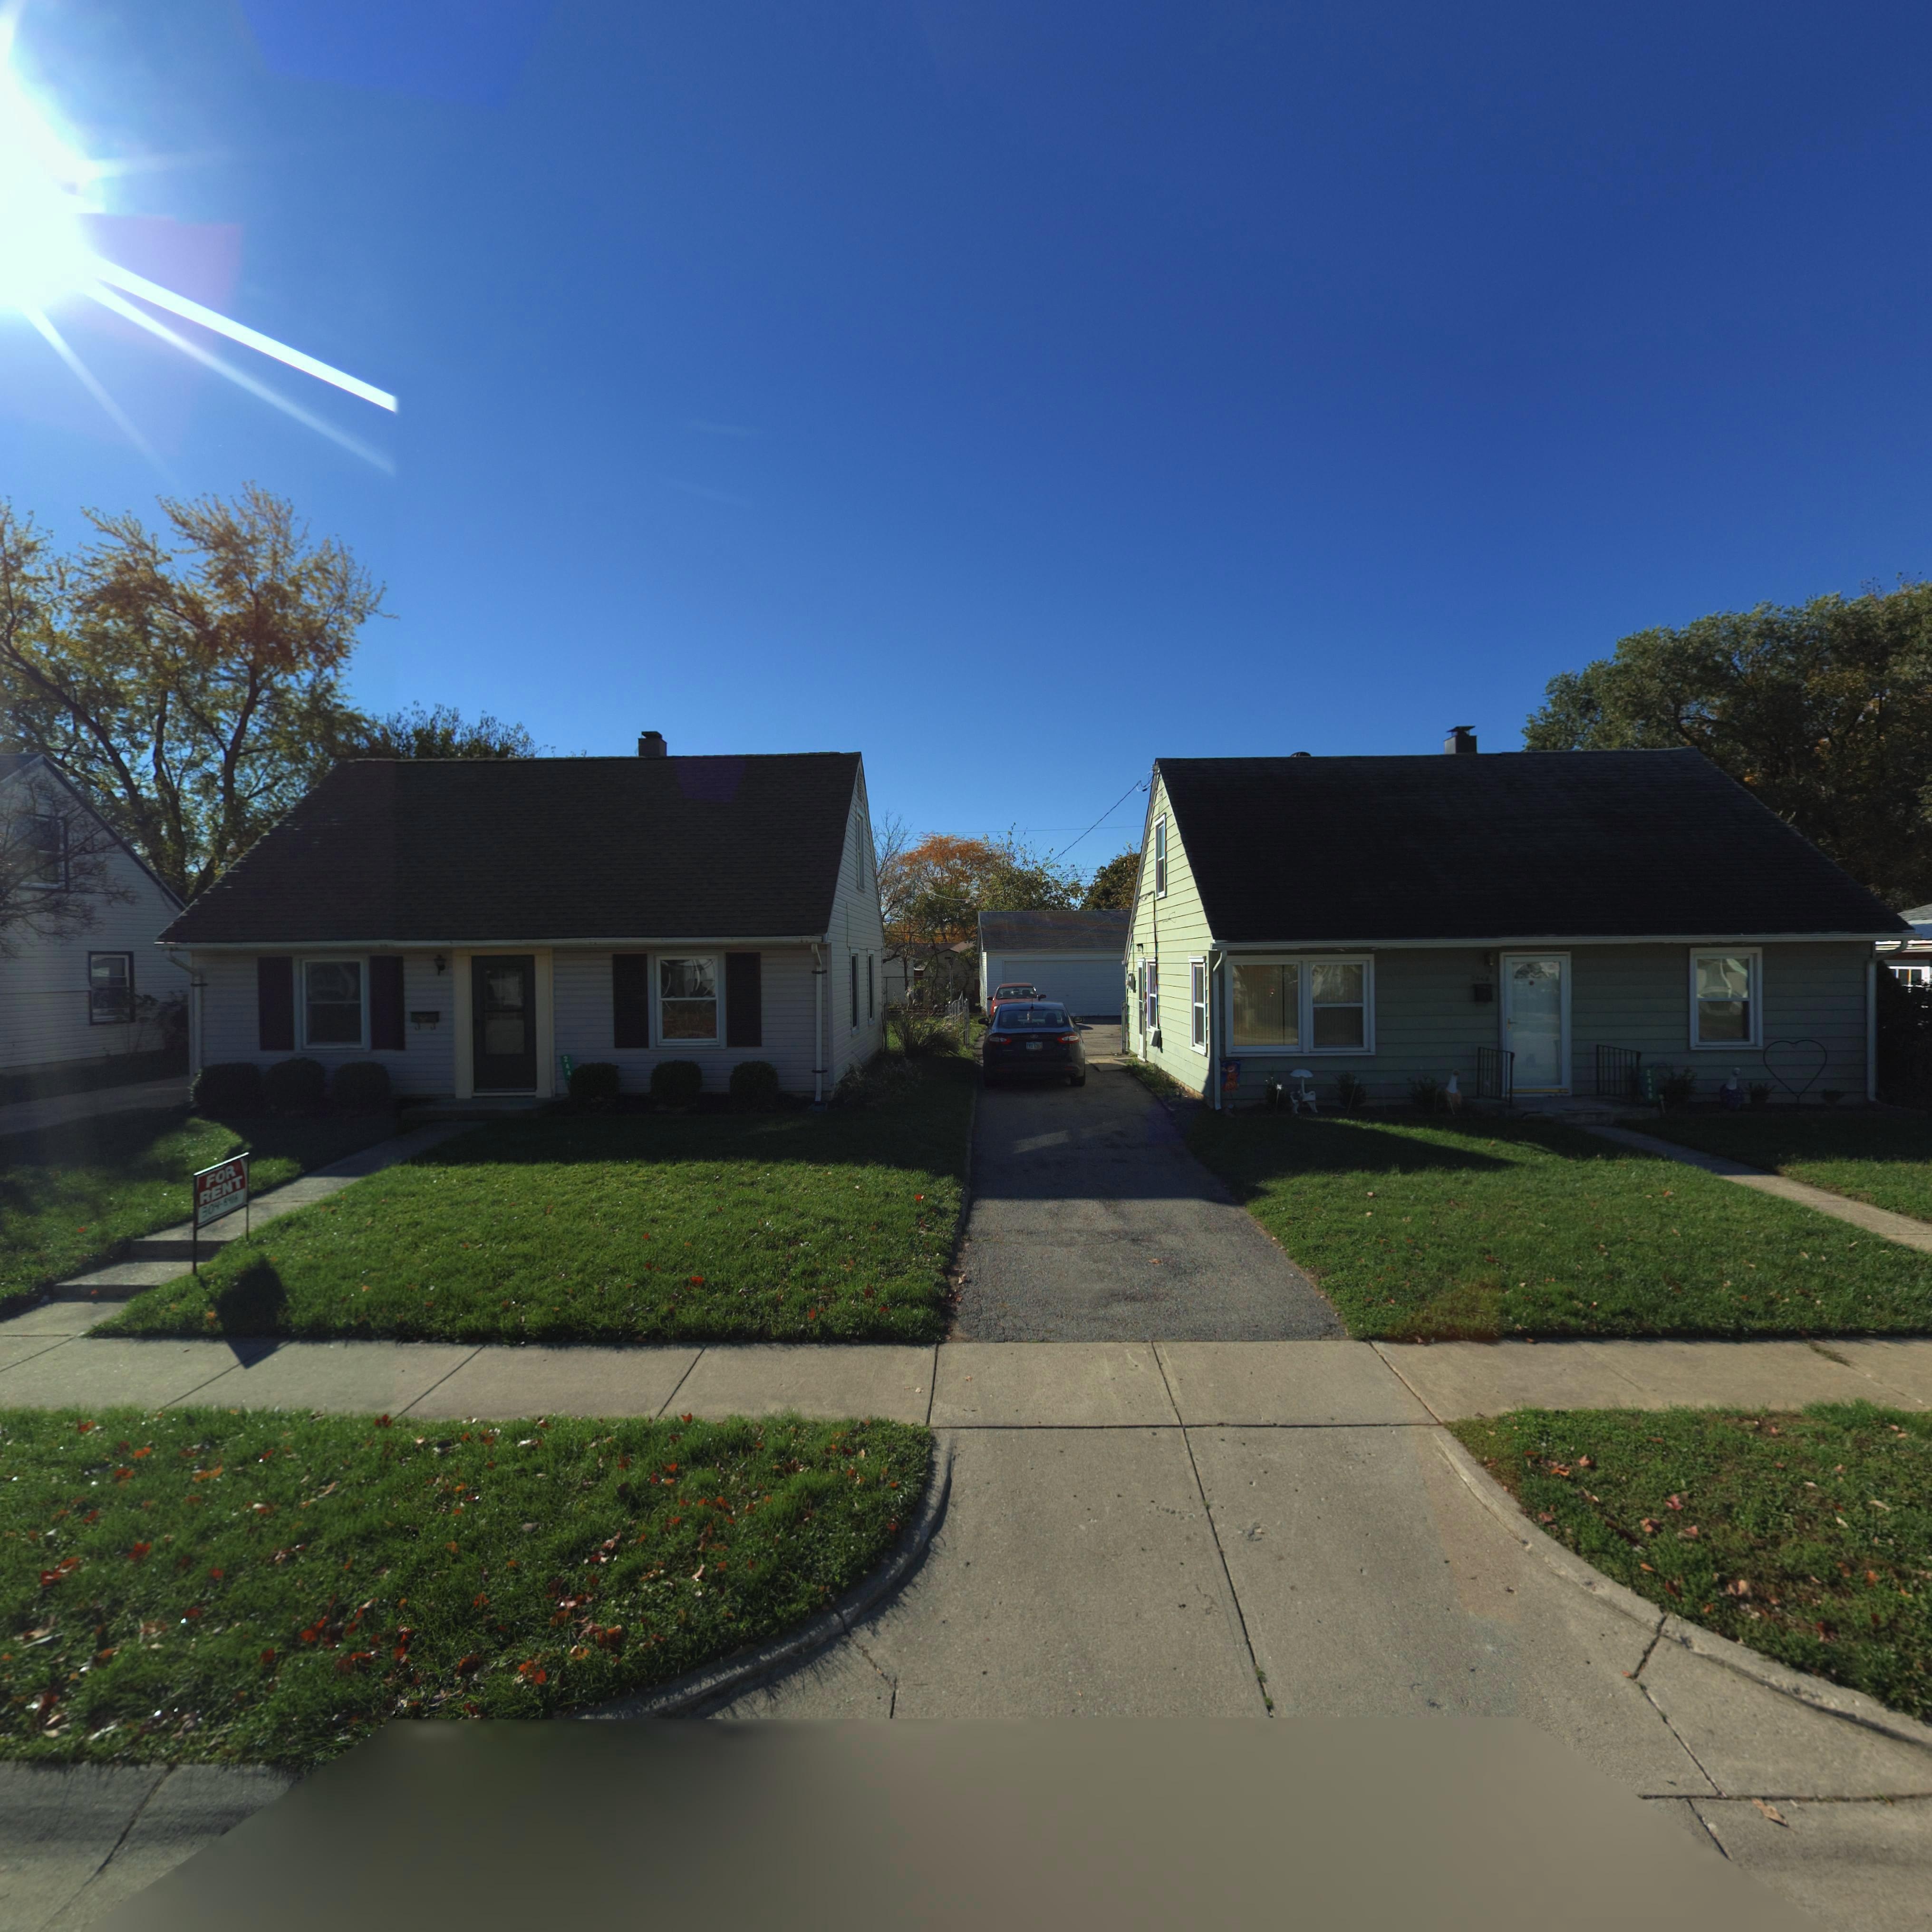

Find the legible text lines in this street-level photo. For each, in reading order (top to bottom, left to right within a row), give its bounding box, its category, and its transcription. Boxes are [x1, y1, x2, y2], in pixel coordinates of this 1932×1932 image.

[1026, 1043, 1043, 1049] None: FR**6960
[561, 1054, 573, 1077] StreetNumber: 244
[1645, 1068, 1654, 1101] StreetNumber: 2448
[205, 1164, 237, 1190] None: FOR
[199, 1174, 243, 1207] None: RENT
[201, 1196, 229, 1220] None: 304-6